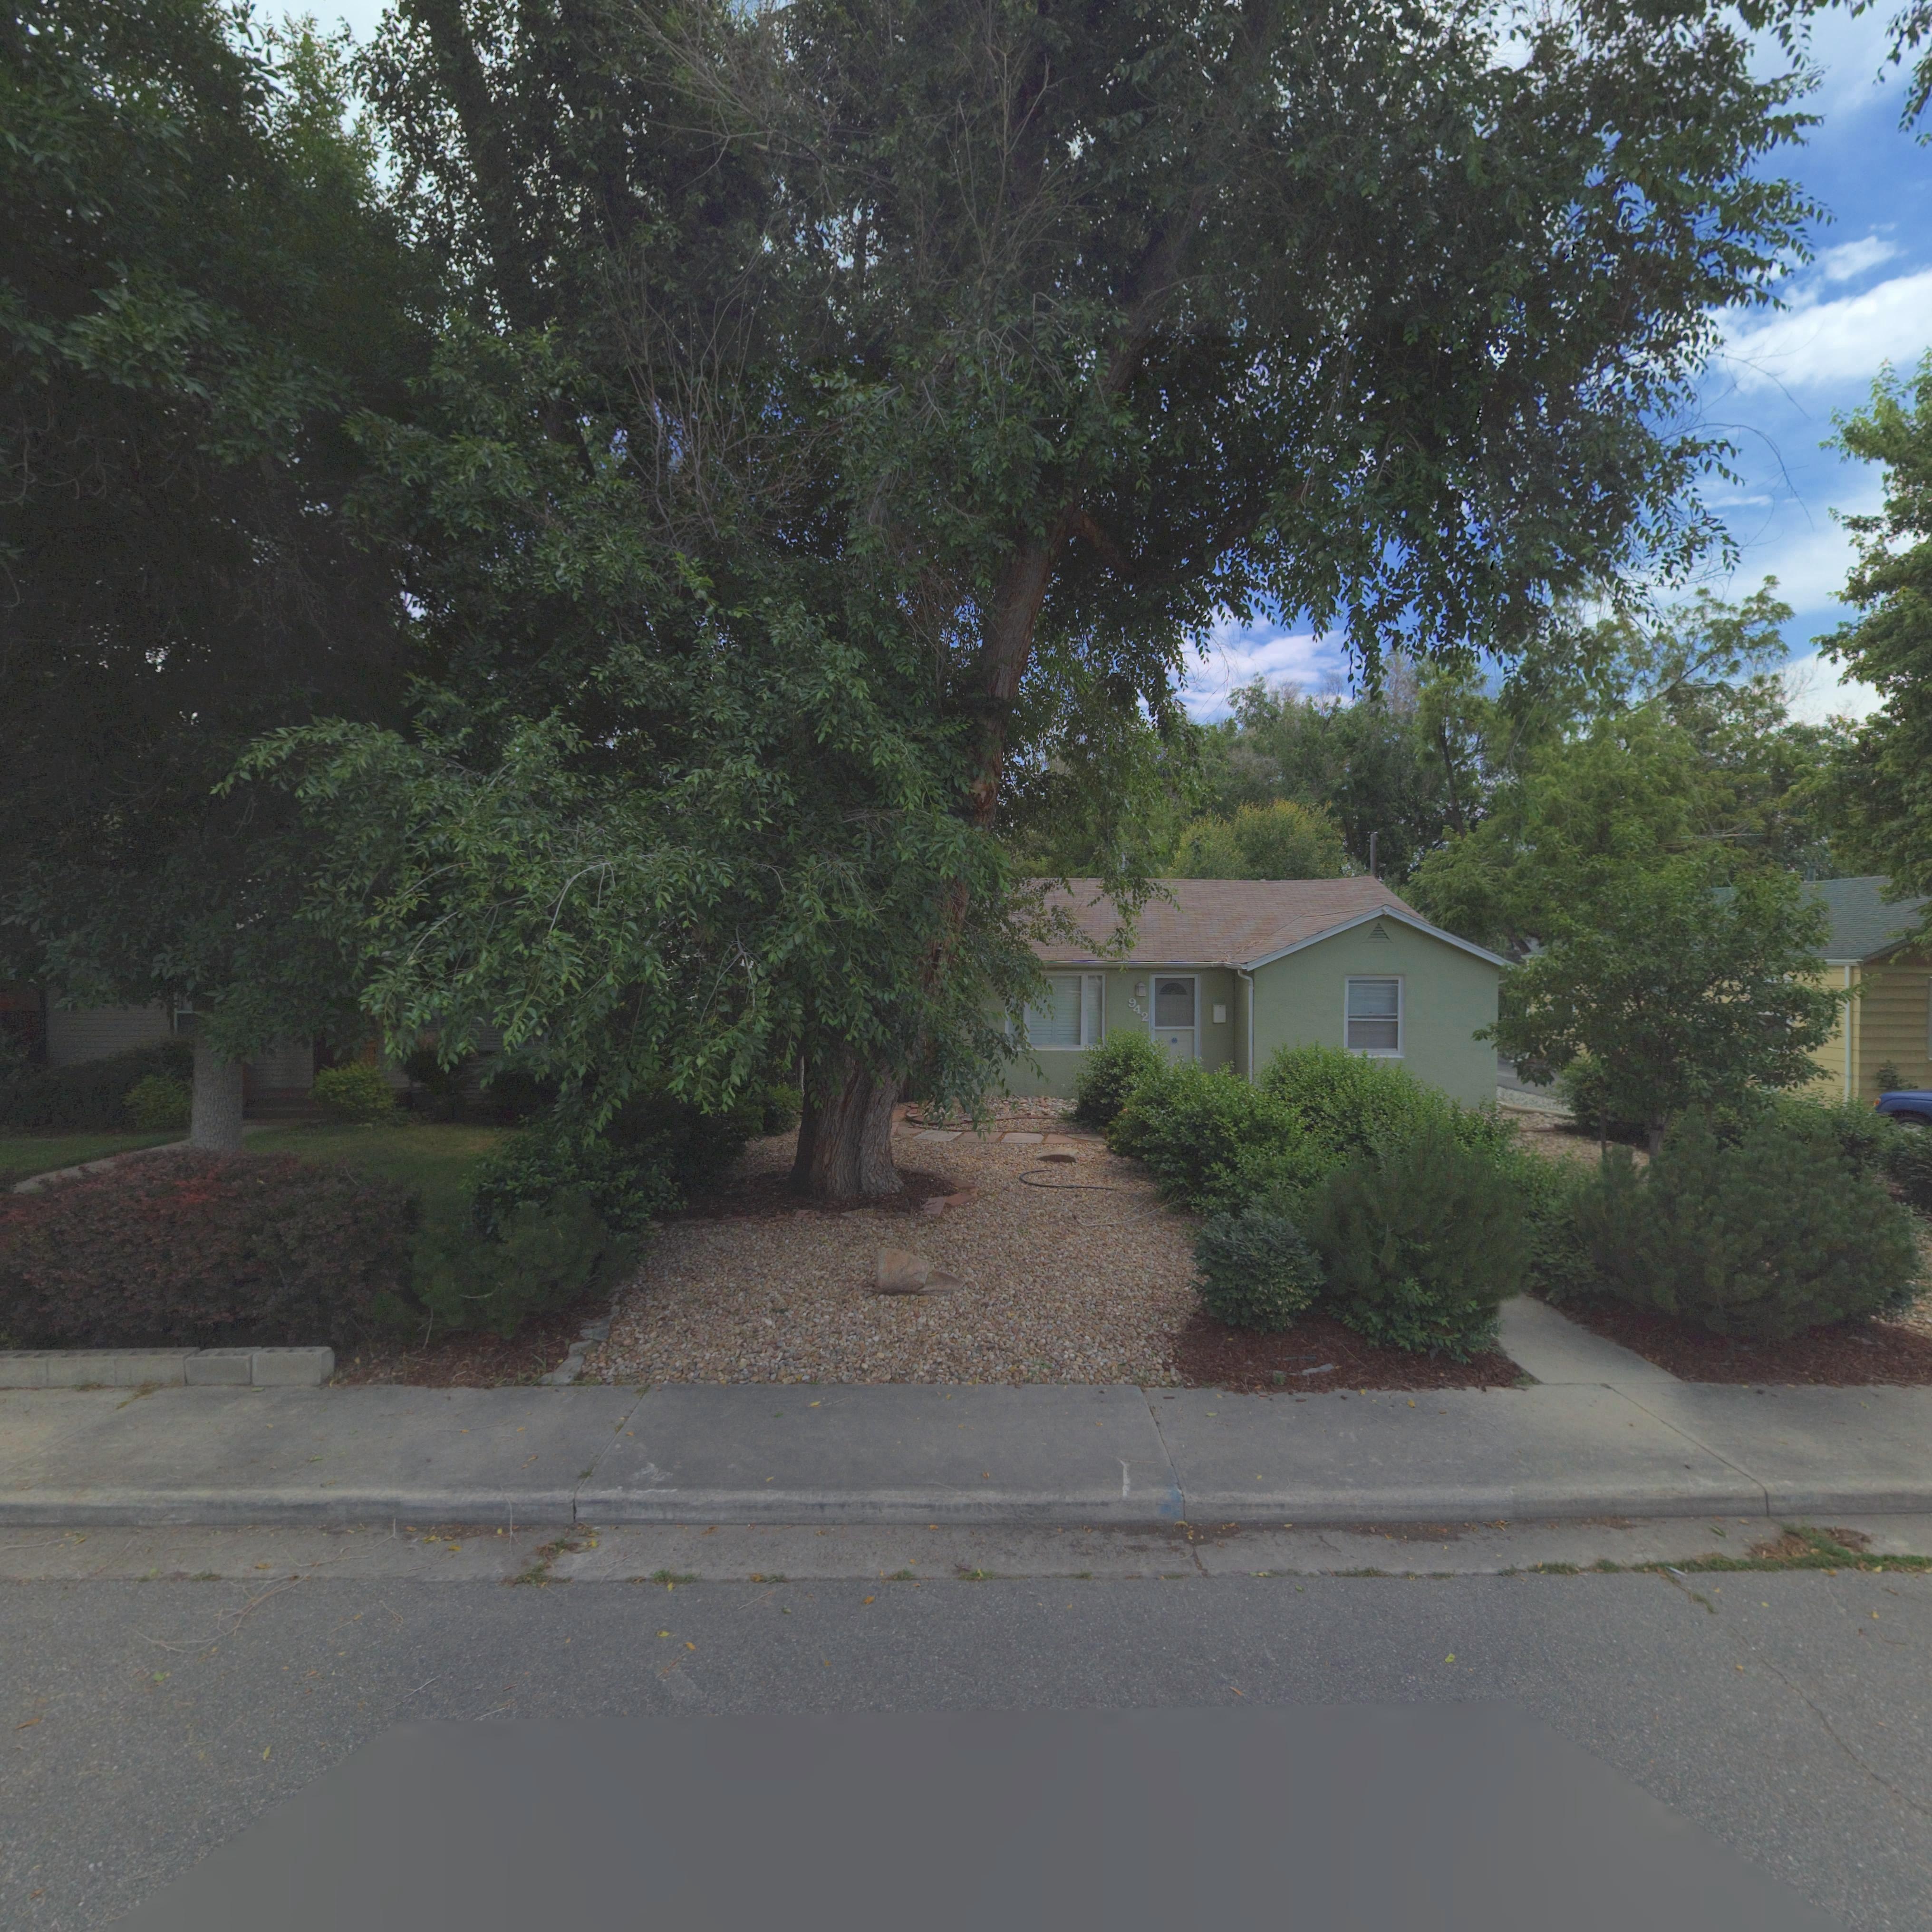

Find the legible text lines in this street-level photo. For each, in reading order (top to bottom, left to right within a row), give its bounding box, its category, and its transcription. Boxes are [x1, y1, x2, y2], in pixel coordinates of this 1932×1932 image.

[1127, 998, 1150, 1021] StreetNumber: 942